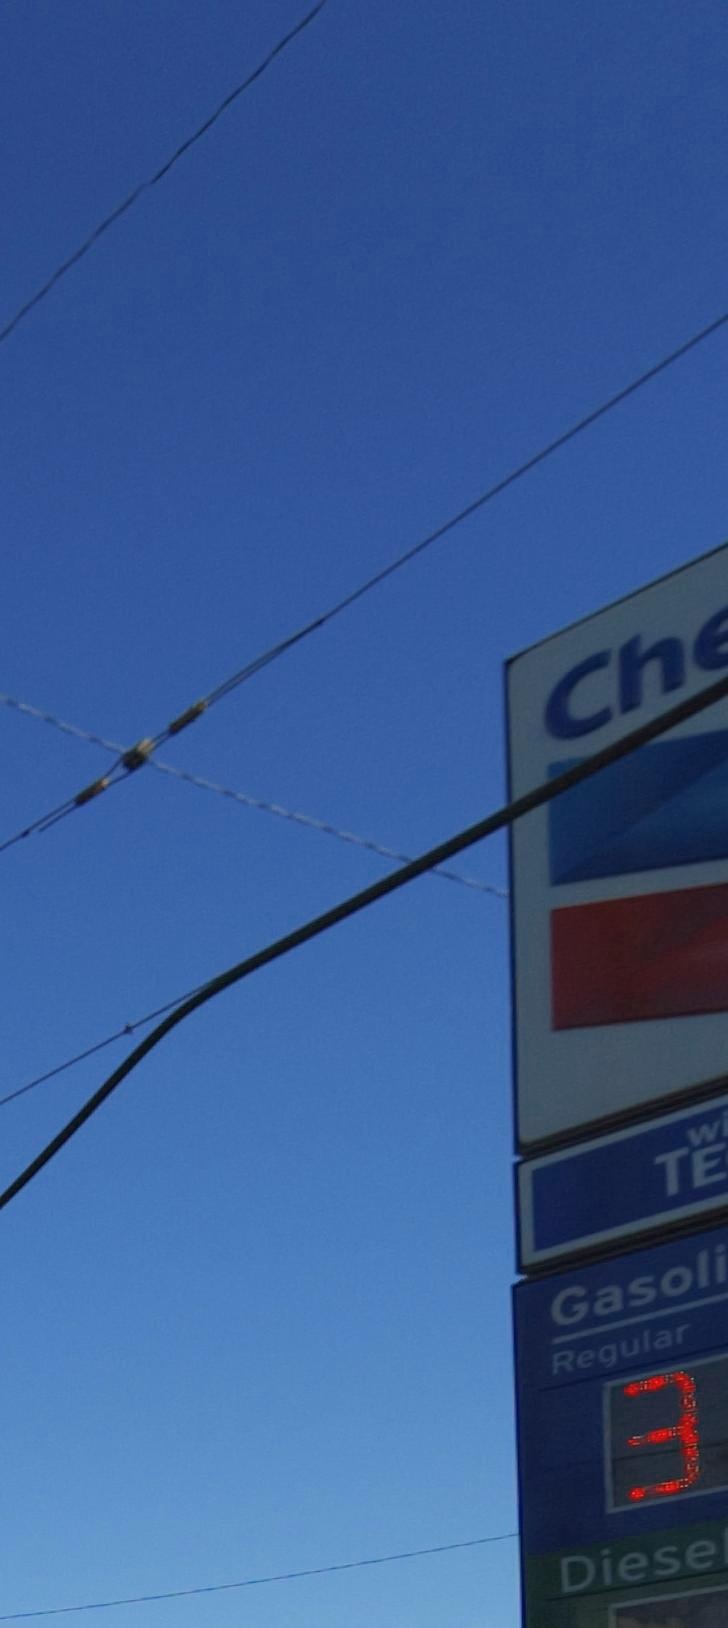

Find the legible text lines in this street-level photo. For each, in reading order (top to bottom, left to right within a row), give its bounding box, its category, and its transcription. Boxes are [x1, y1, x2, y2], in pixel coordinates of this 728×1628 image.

[530, 629, 689, 754] BusinessName: Ch
[681, 1116, 723, 1150] None: w
[647, 1134, 728, 1201] None: TE
[546, 1240, 728, 1335] None: Gasoli
[550, 1321, 693, 1378] None: Regular
[619, 1362, 704, 1504] None: 3
[558, 1536, 718, 1600] None: Diese